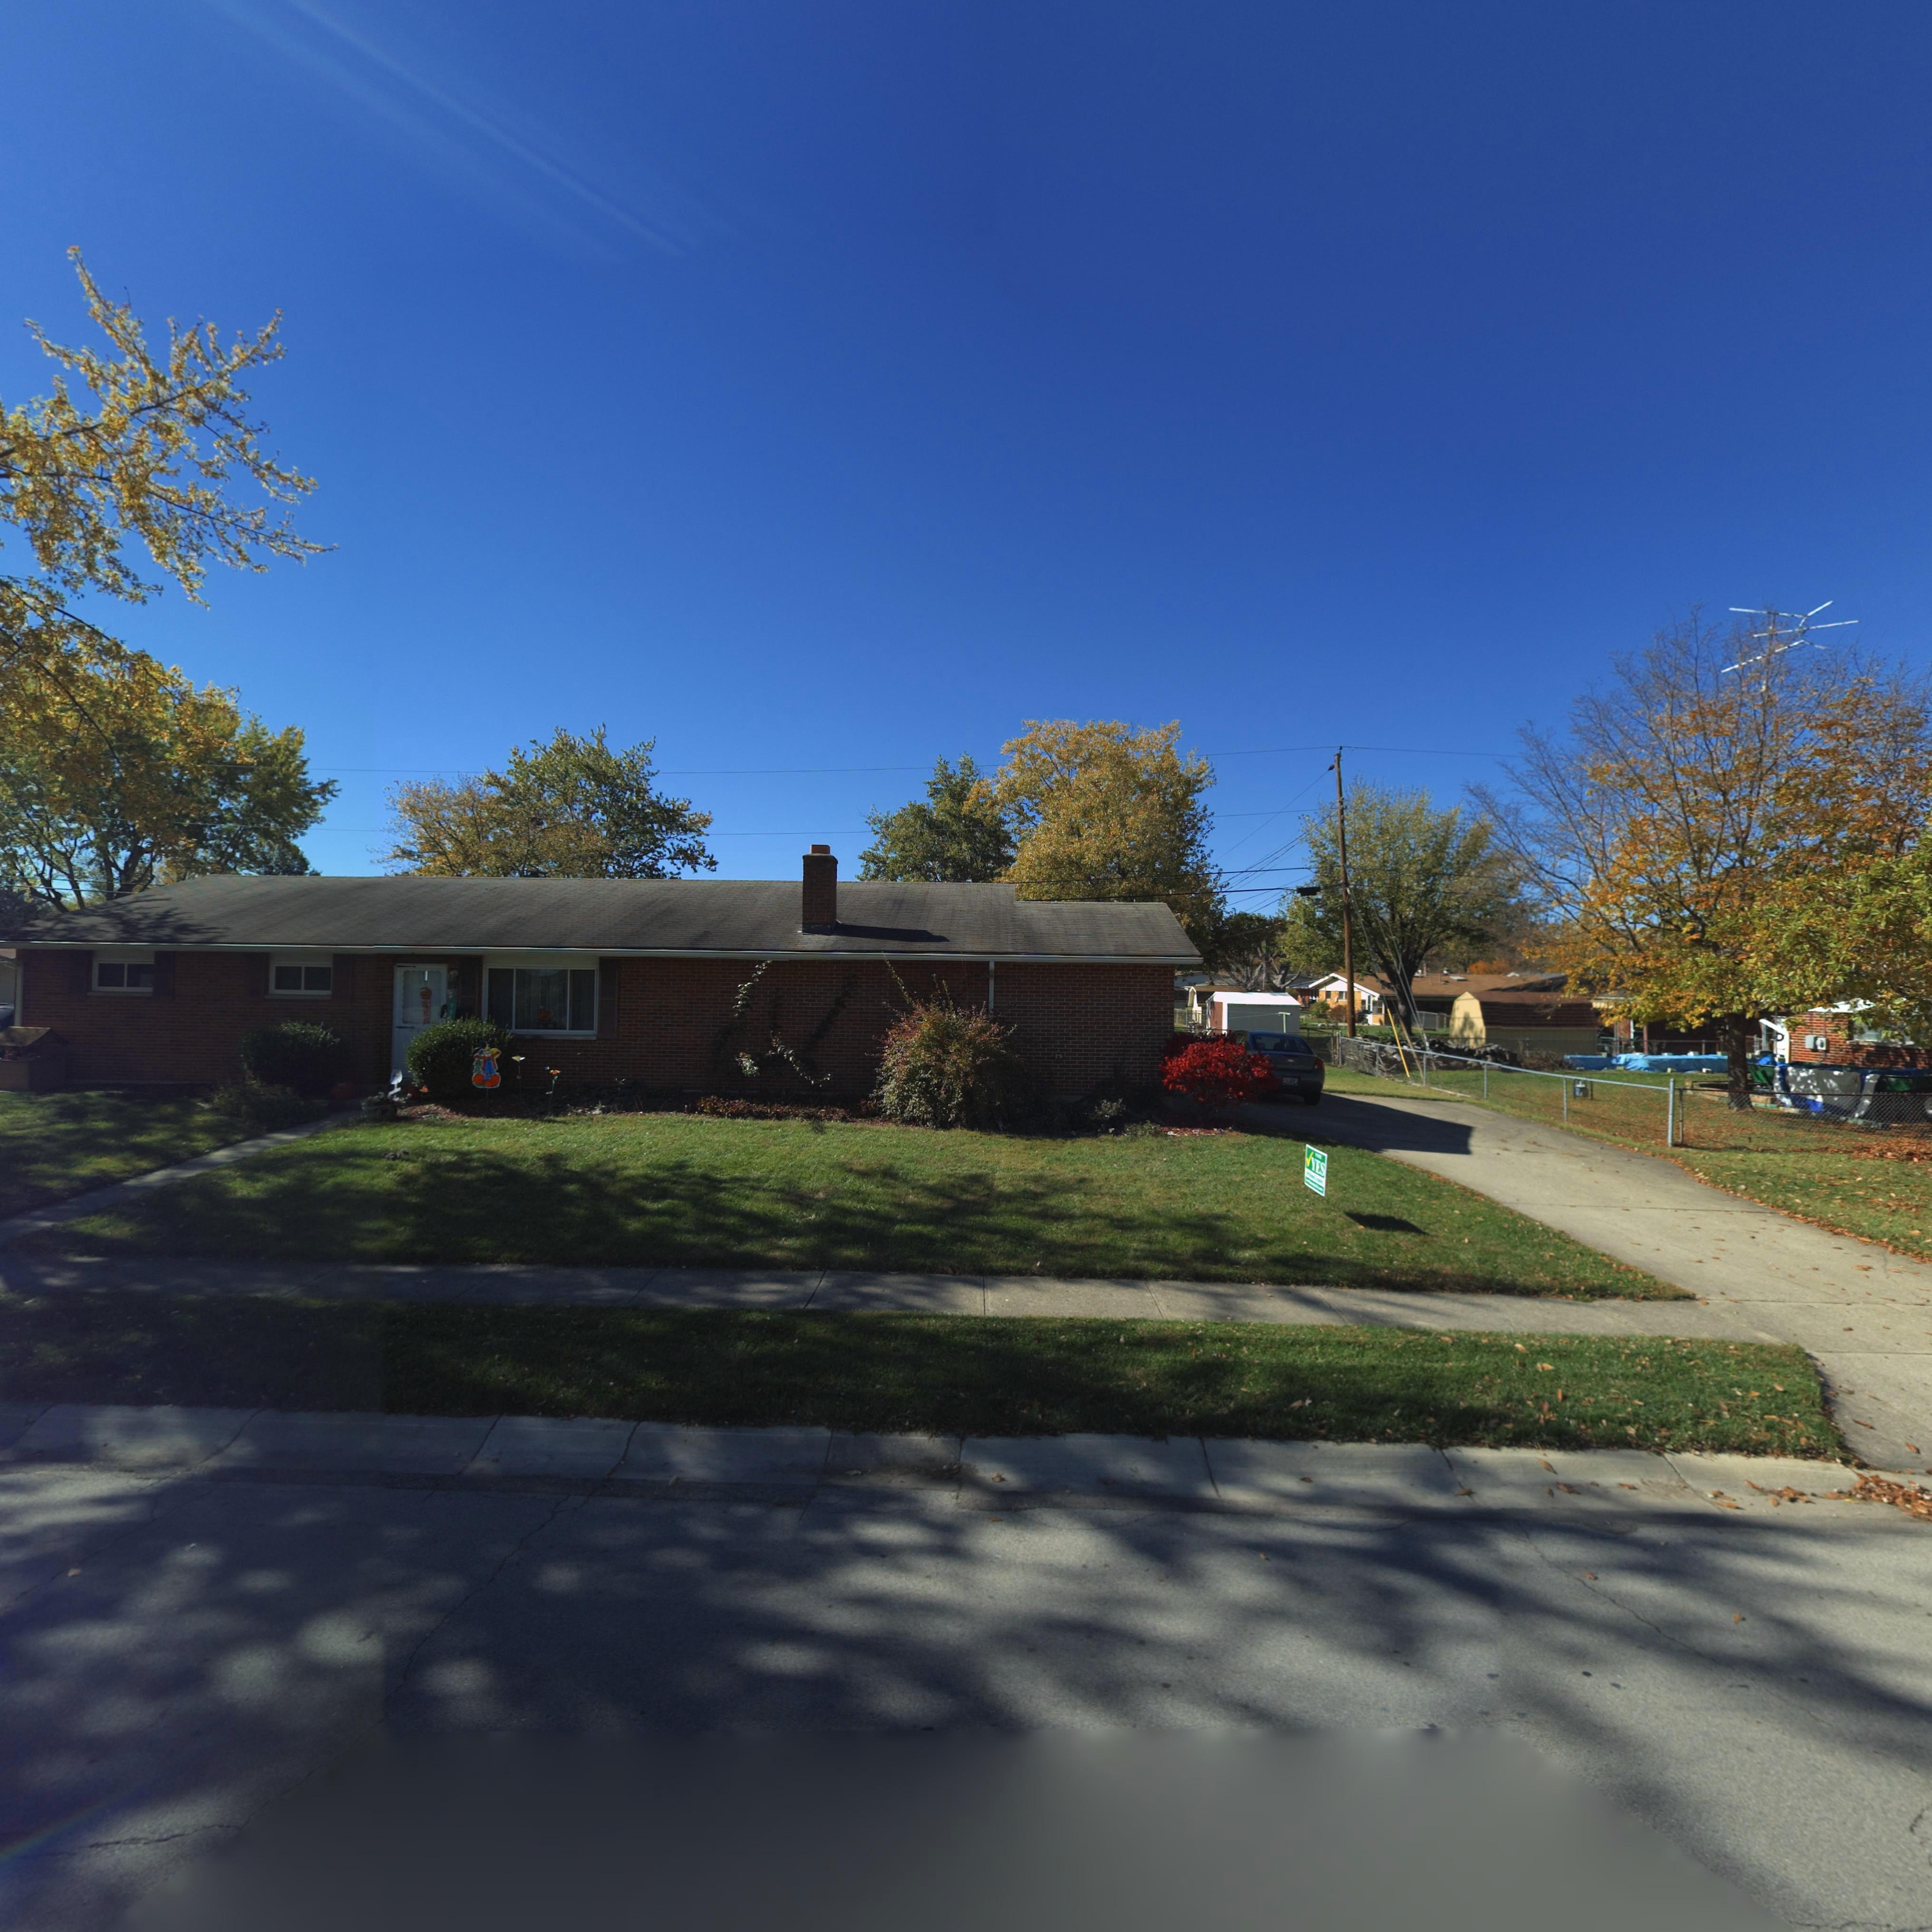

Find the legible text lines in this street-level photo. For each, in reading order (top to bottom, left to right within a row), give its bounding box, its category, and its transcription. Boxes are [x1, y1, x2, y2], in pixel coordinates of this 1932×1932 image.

[448, 1002, 454, 1016] StreetNumber: 70
[1311, 1156, 1326, 1178] None: YES